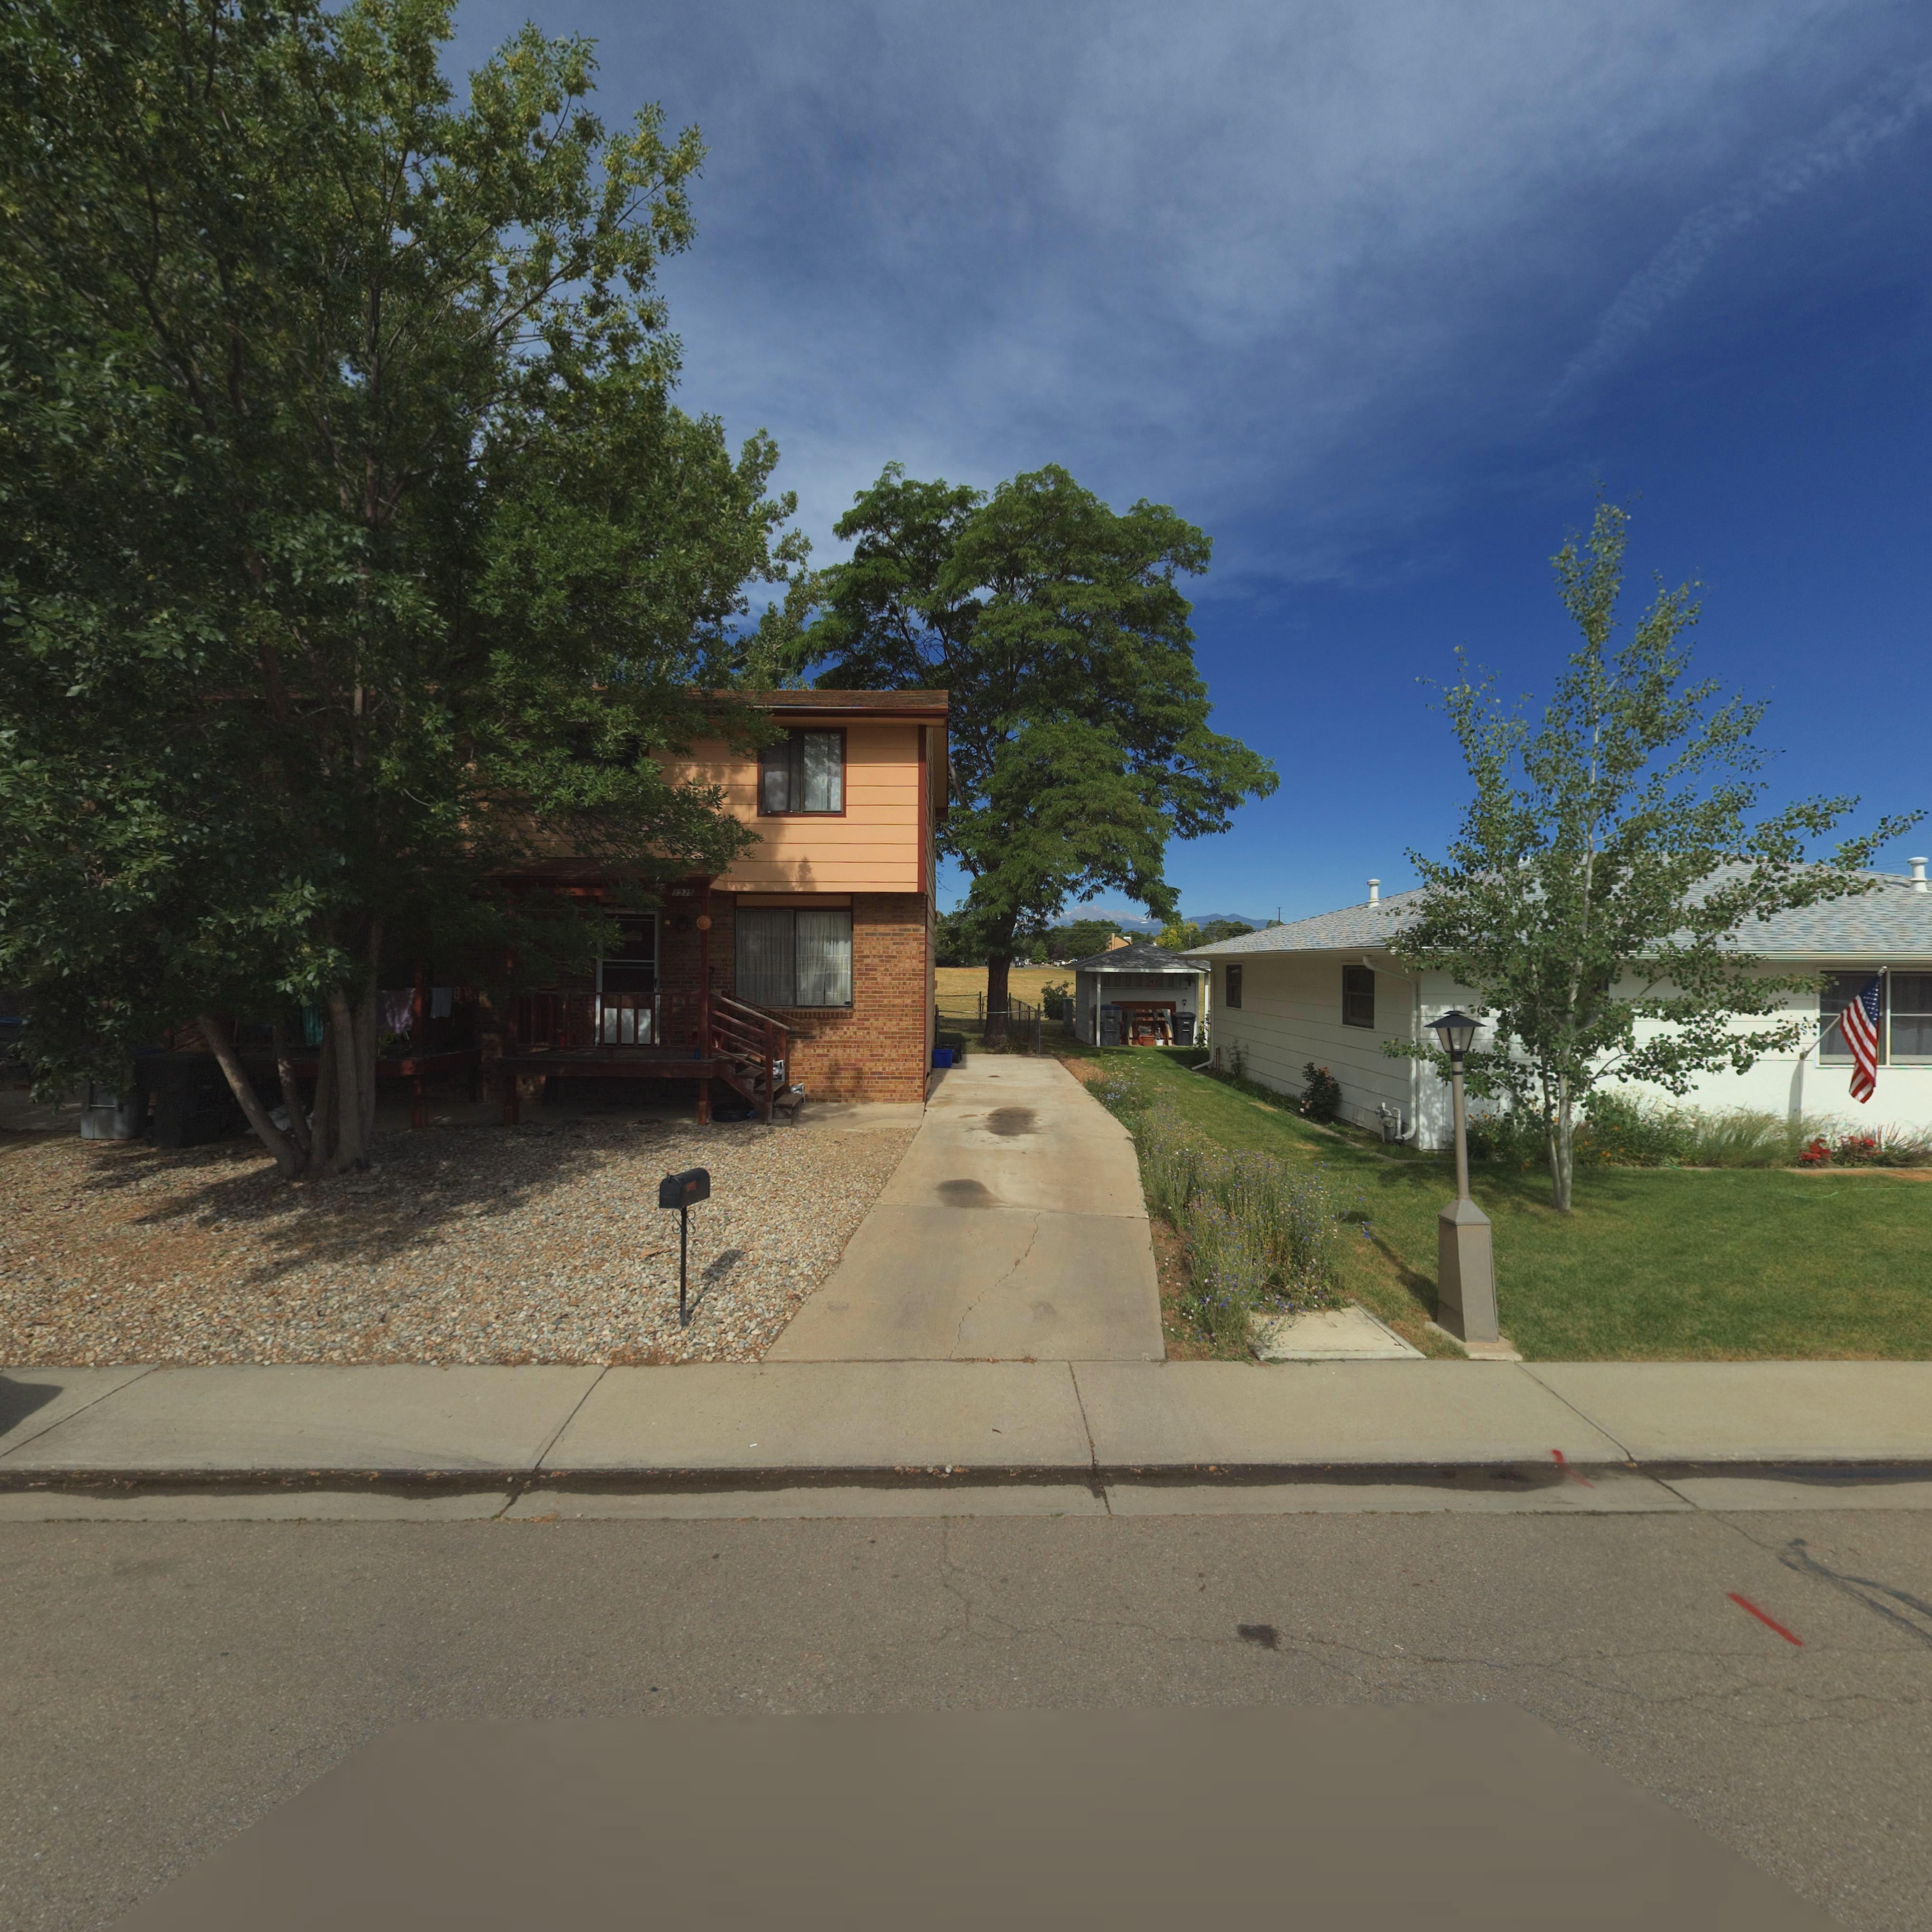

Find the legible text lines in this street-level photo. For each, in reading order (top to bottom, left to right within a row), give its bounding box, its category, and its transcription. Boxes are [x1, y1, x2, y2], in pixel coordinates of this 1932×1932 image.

[673, 888, 694, 896] StreetNumber: 1935